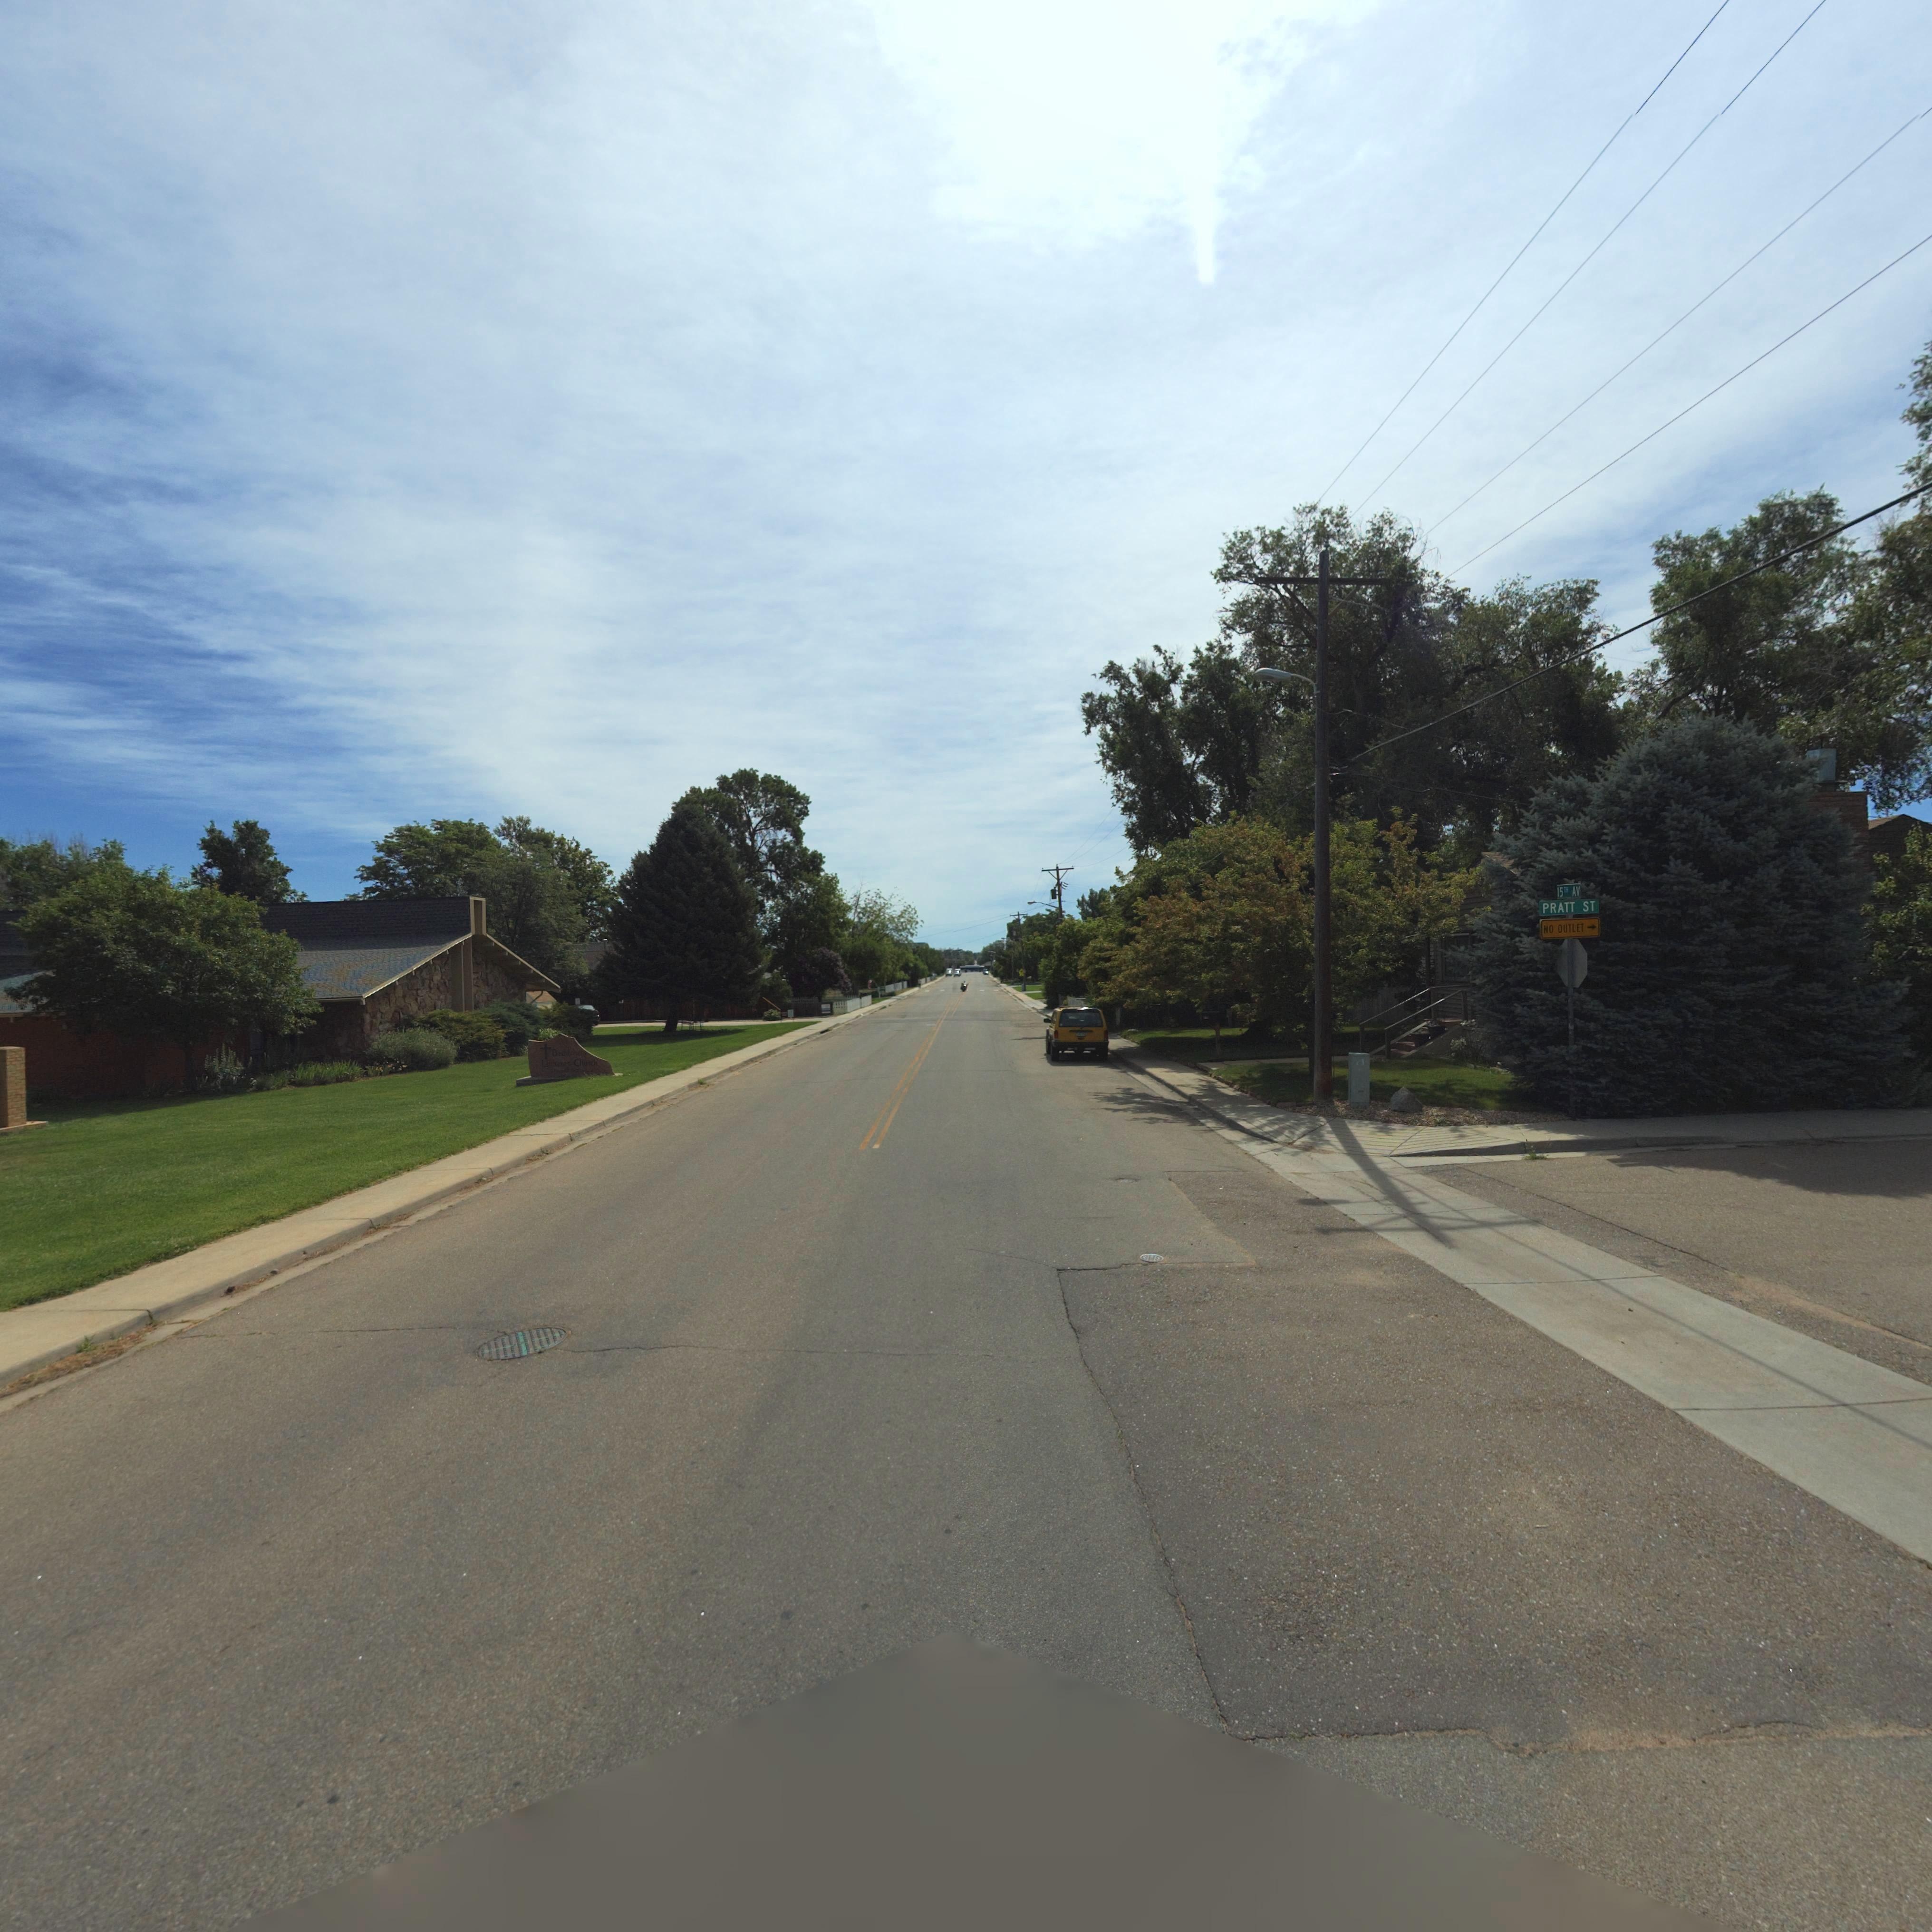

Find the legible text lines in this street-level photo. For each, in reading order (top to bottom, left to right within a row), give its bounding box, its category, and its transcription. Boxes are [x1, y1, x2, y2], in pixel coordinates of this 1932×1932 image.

[1556, 885, 1581, 898] StreetName: 15** AV
[1542, 900, 1596, 914] StreetName: PRATT ST
[551, 1047, 587, 1057] BusinessName: B*********
[540, 1057, 599, 1067] BusinessName: L******** C****h